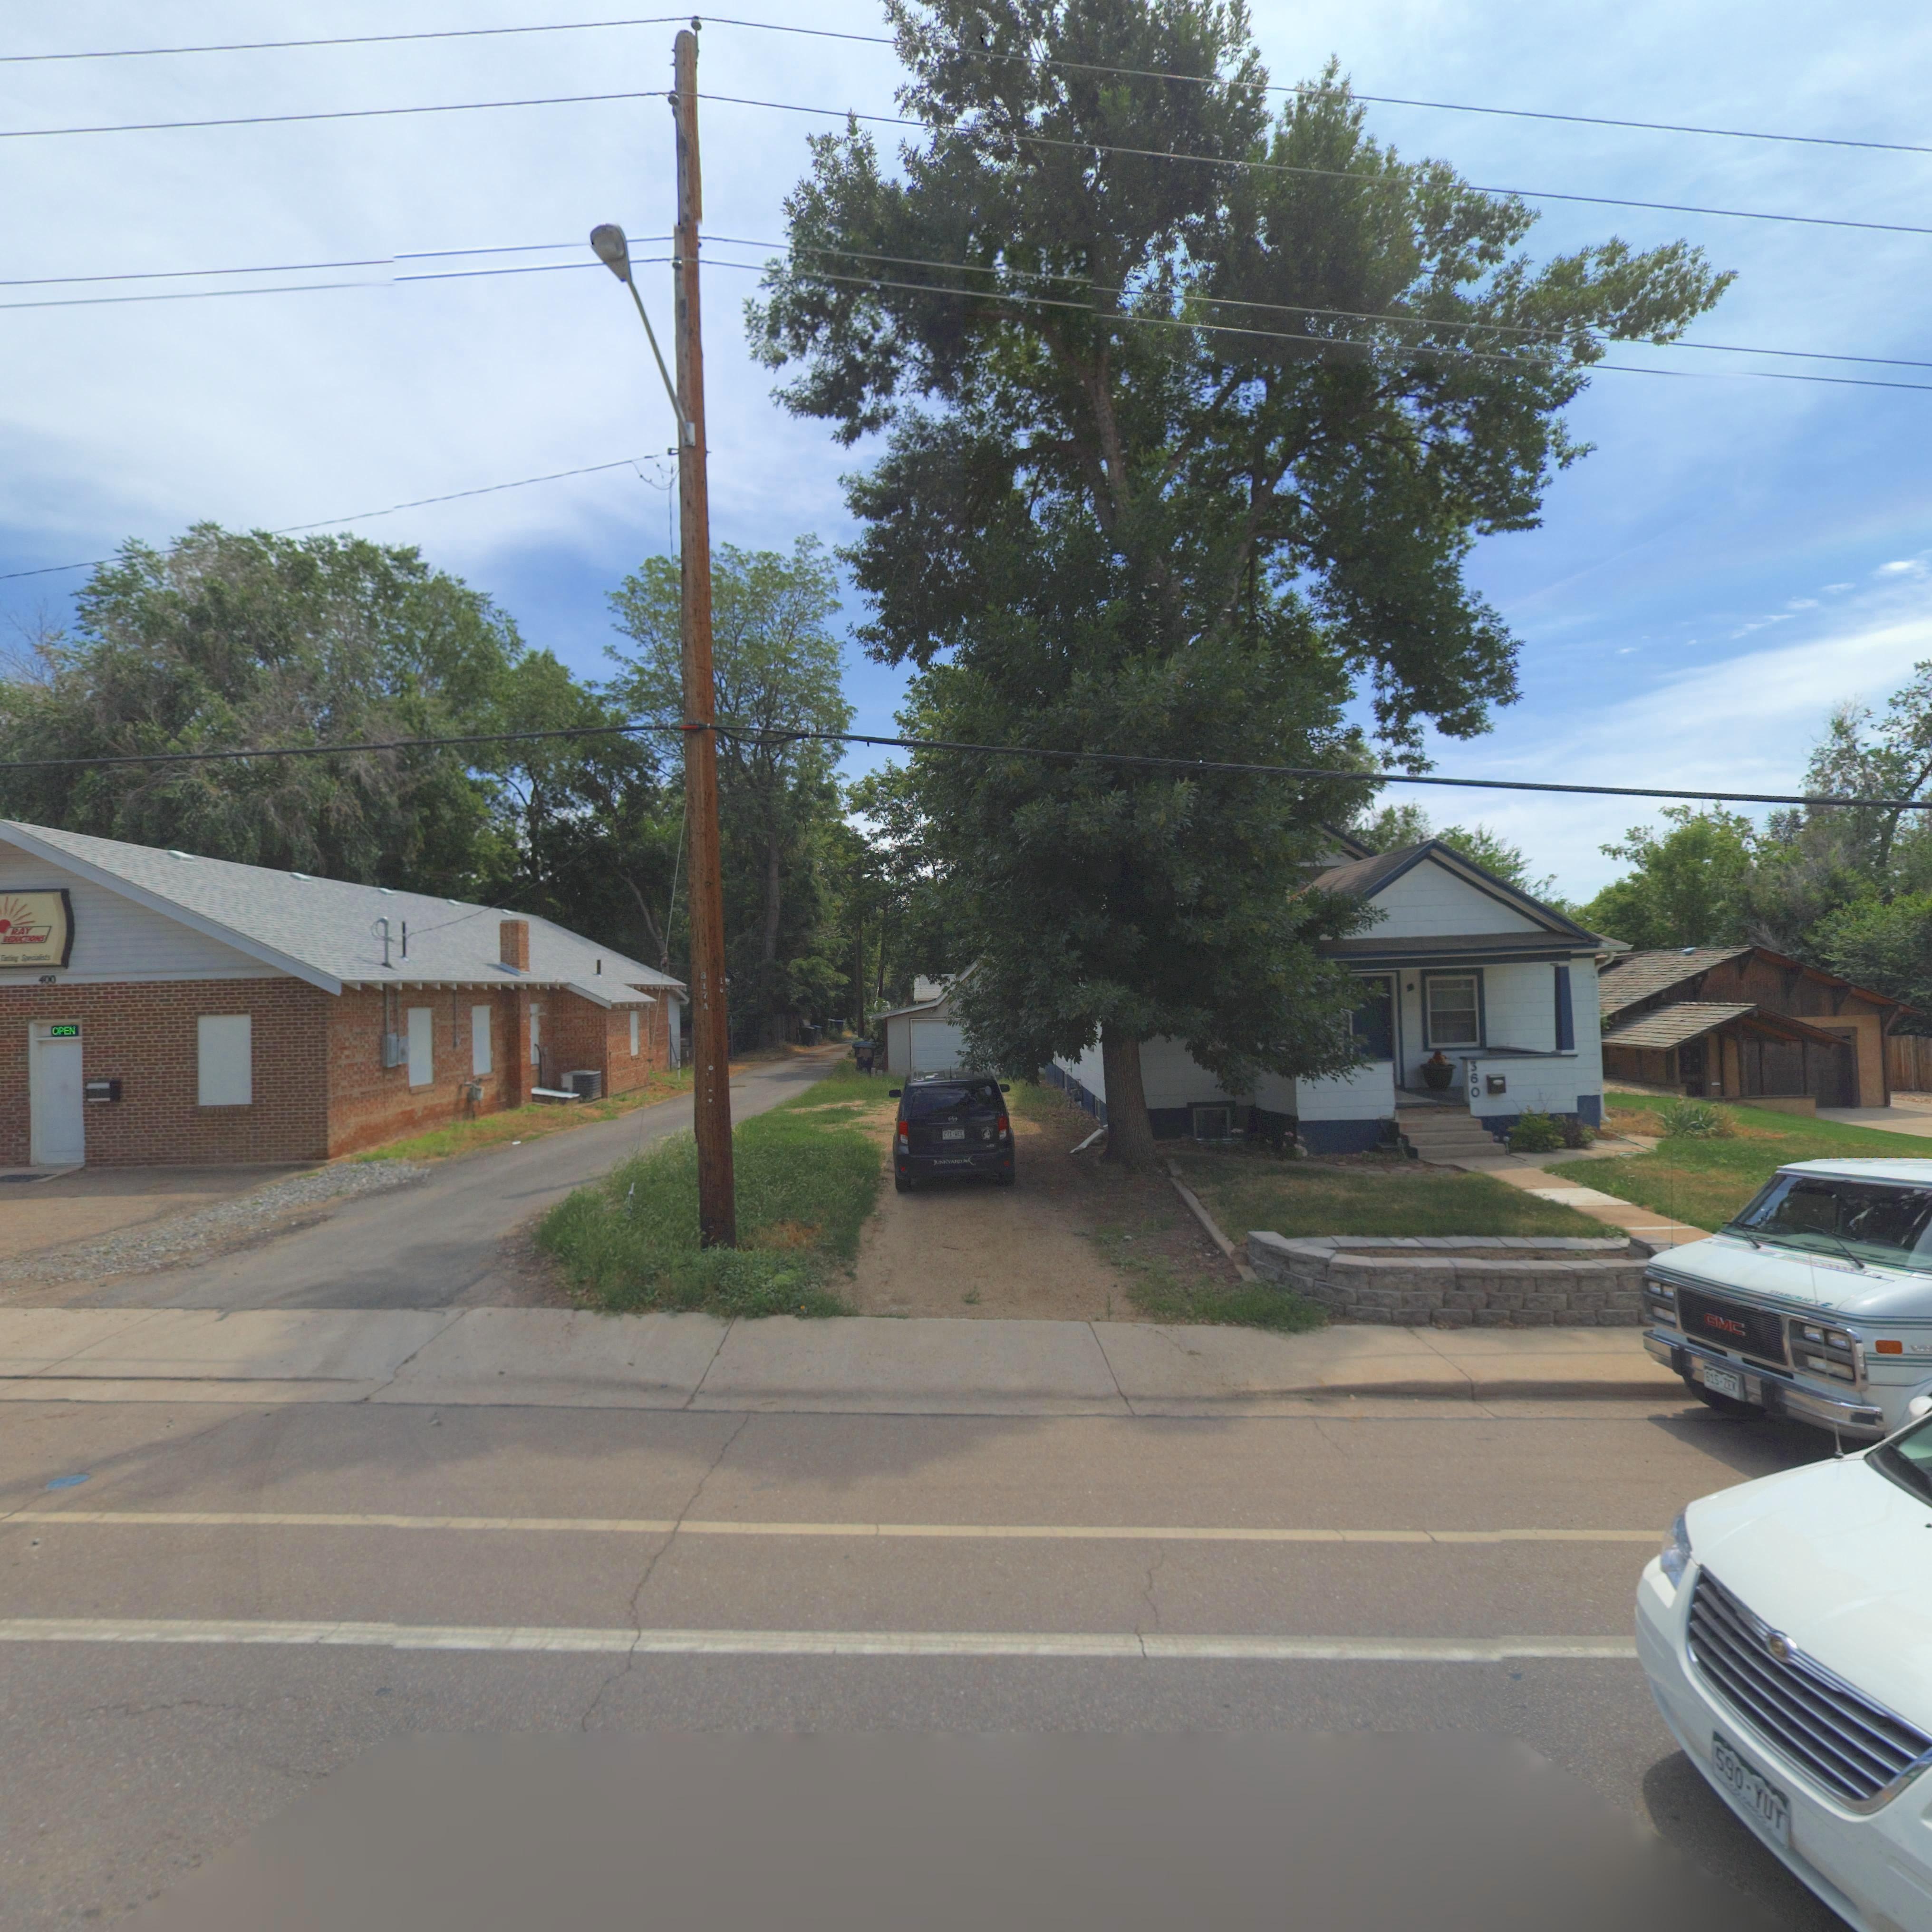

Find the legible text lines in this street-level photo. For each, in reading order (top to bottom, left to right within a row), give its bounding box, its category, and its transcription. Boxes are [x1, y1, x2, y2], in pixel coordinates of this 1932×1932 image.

[10, 927, 33, 935] BusinessName: RAY
[2, 935, 47, 942] BusinessName: *ED*C**O*S
[38, 975, 56, 984] StreetNumber: 400
[1469, 1060, 1480, 1097] StreetNumber: 360